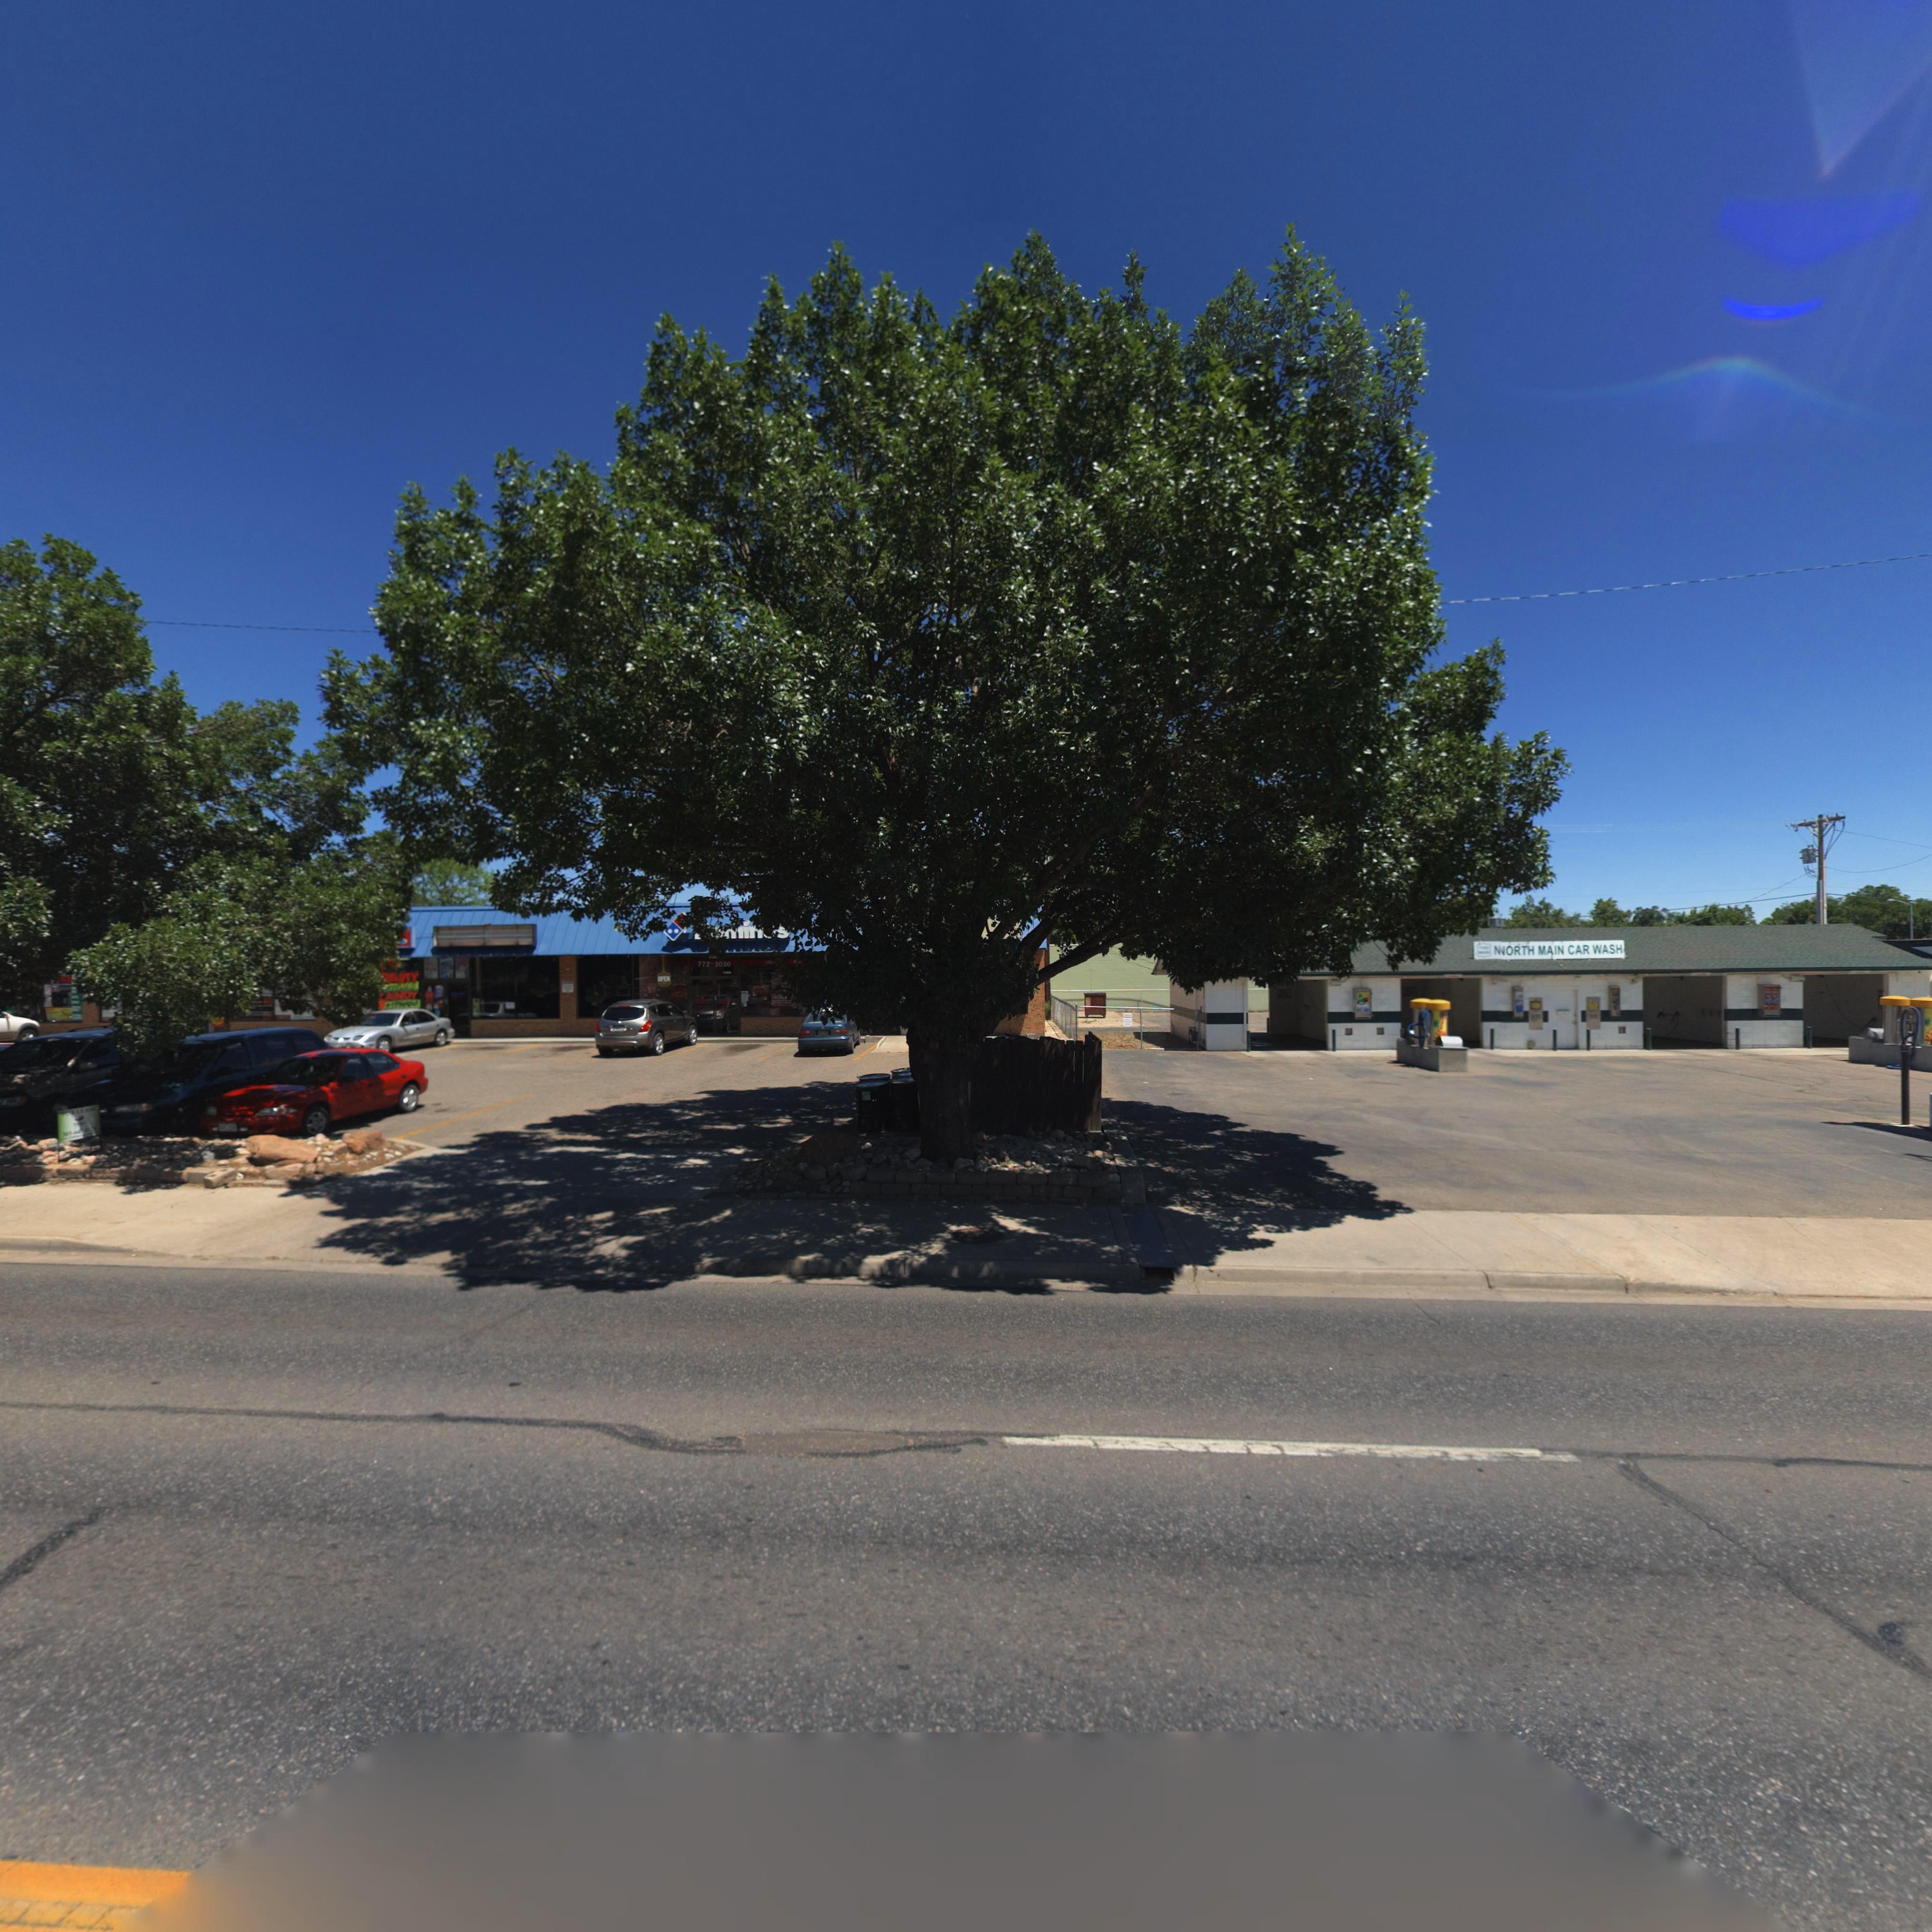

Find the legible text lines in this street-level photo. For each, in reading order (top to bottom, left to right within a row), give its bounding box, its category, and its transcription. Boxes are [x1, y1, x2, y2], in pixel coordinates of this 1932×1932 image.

[693, 918, 778, 939] BusinessName: ***i**
[1493, 944, 1623, 956] BusinessName: *ORTH MAIN CAR WASH